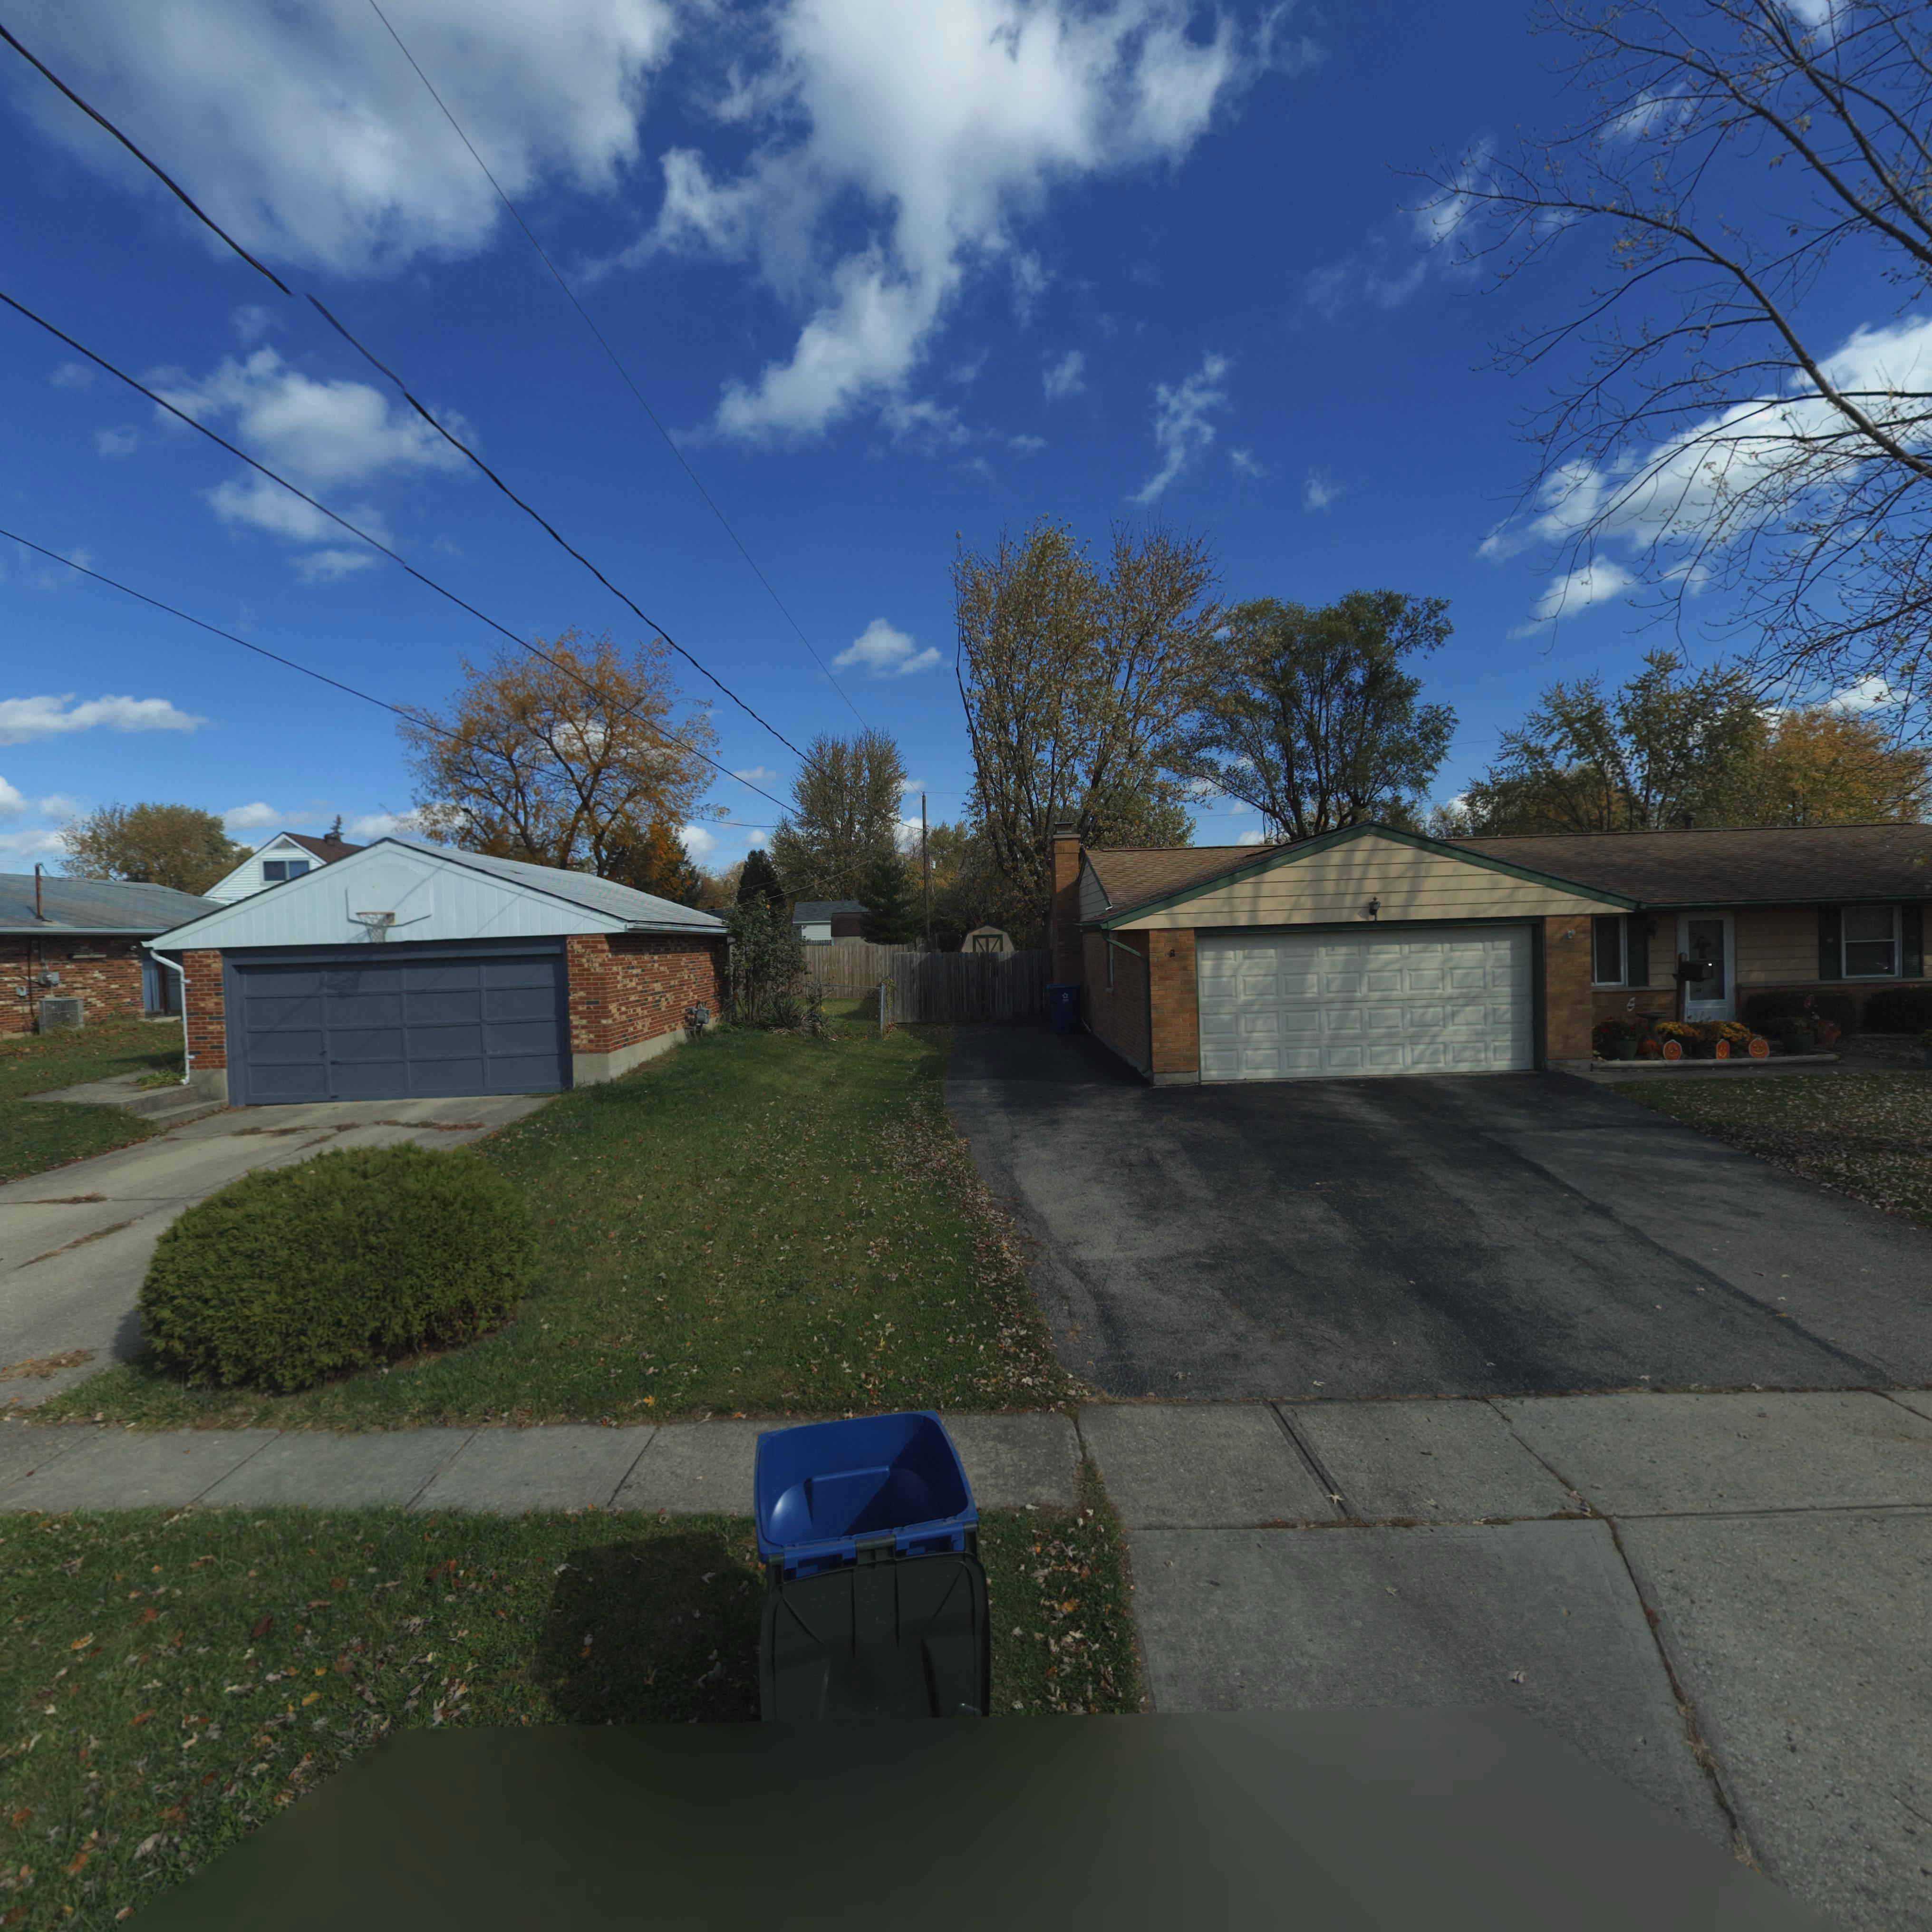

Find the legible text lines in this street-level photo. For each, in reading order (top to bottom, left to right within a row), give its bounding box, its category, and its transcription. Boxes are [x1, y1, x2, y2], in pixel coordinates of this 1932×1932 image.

[1679, 1002, 1684, 1007] StreetNumber: 0